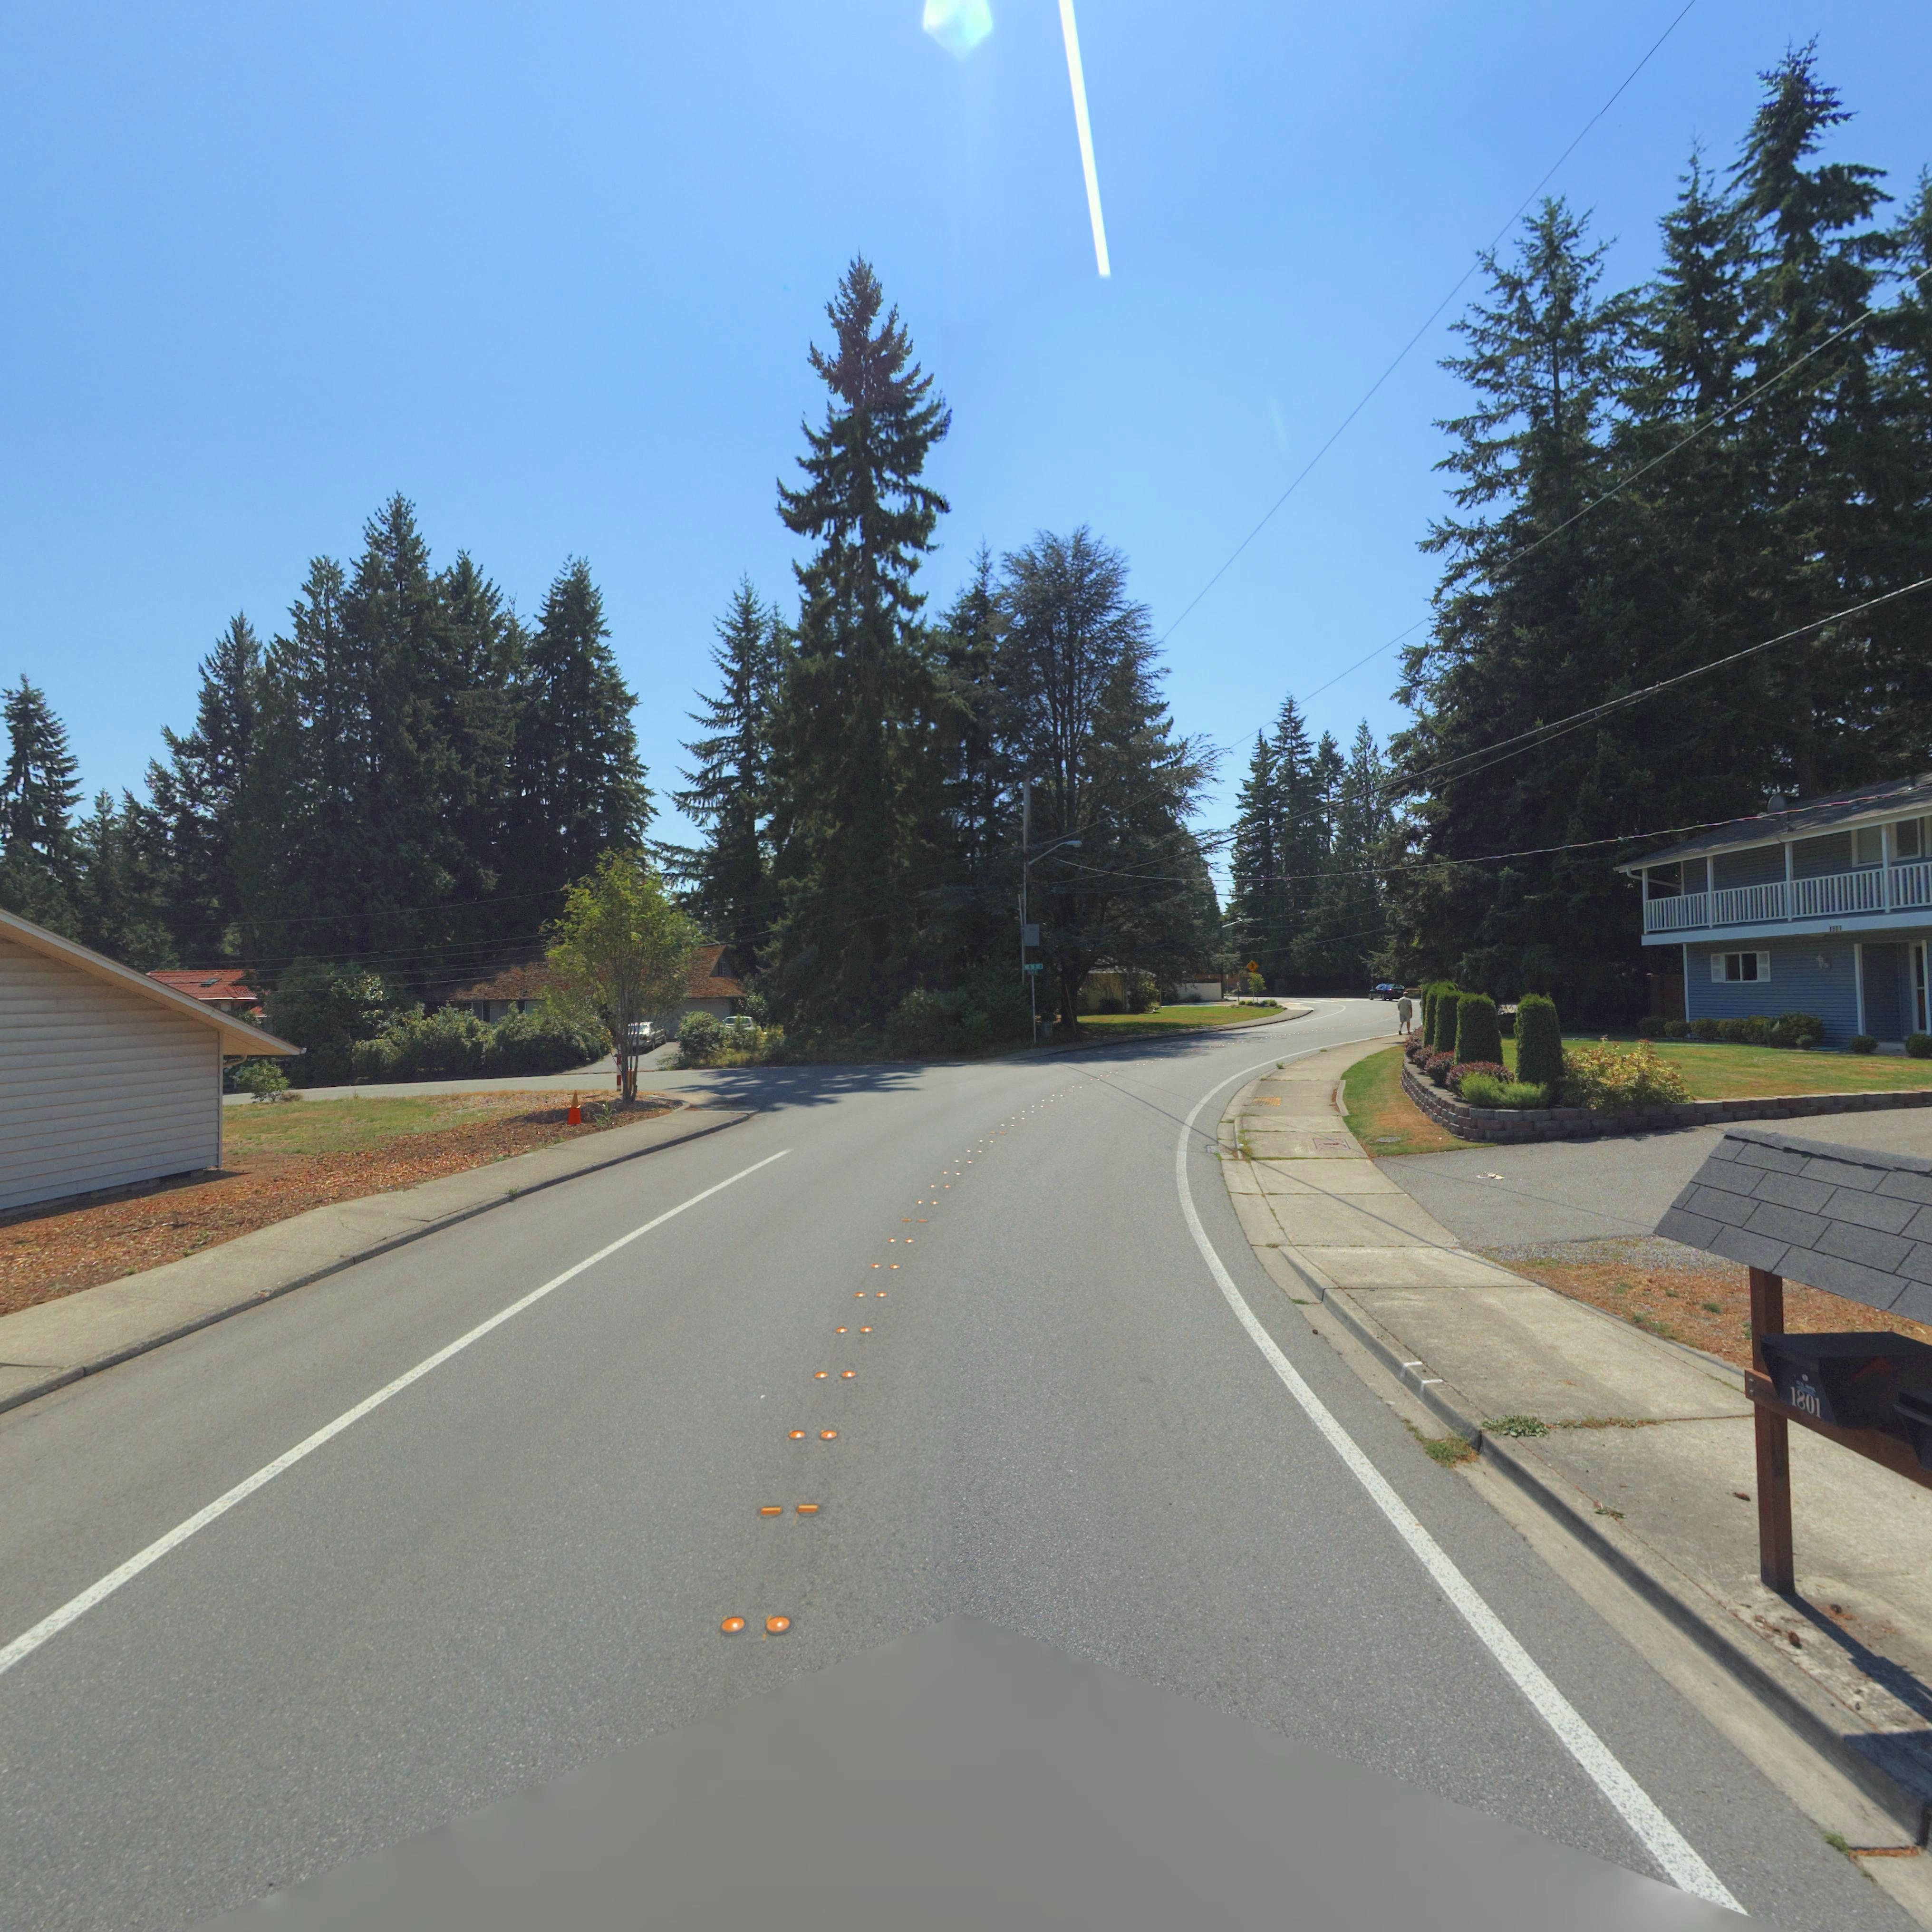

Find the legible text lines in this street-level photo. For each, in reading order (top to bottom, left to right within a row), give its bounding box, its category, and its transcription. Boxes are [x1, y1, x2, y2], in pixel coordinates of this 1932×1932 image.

[1829, 924, 1842, 932] StreetNumber: 18*1
[1791, 1386, 1820, 1418] StreetNumber: 1801